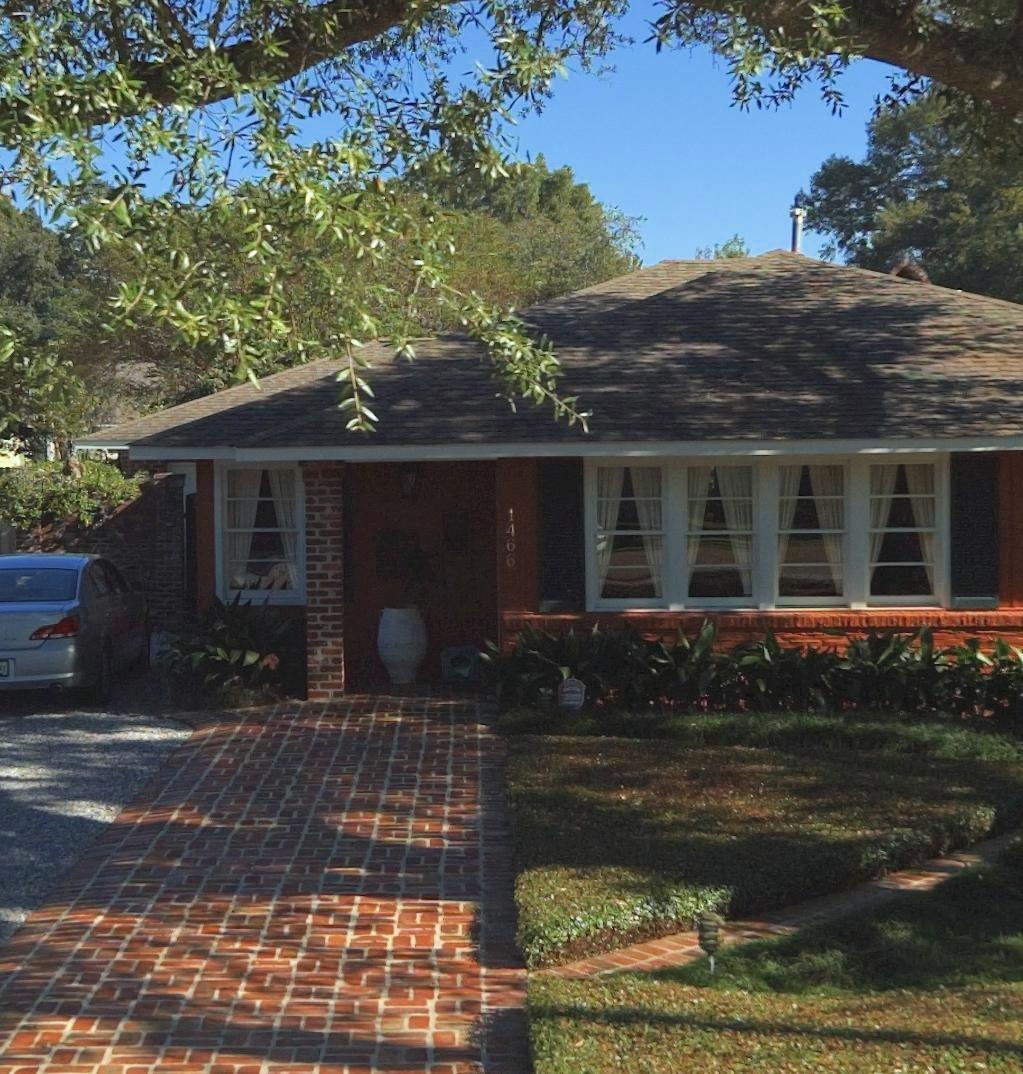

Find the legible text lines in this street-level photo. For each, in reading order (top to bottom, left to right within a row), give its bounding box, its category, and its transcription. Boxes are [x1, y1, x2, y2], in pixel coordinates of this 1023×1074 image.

[503, 505, 518, 570] StreetNumber: 1466